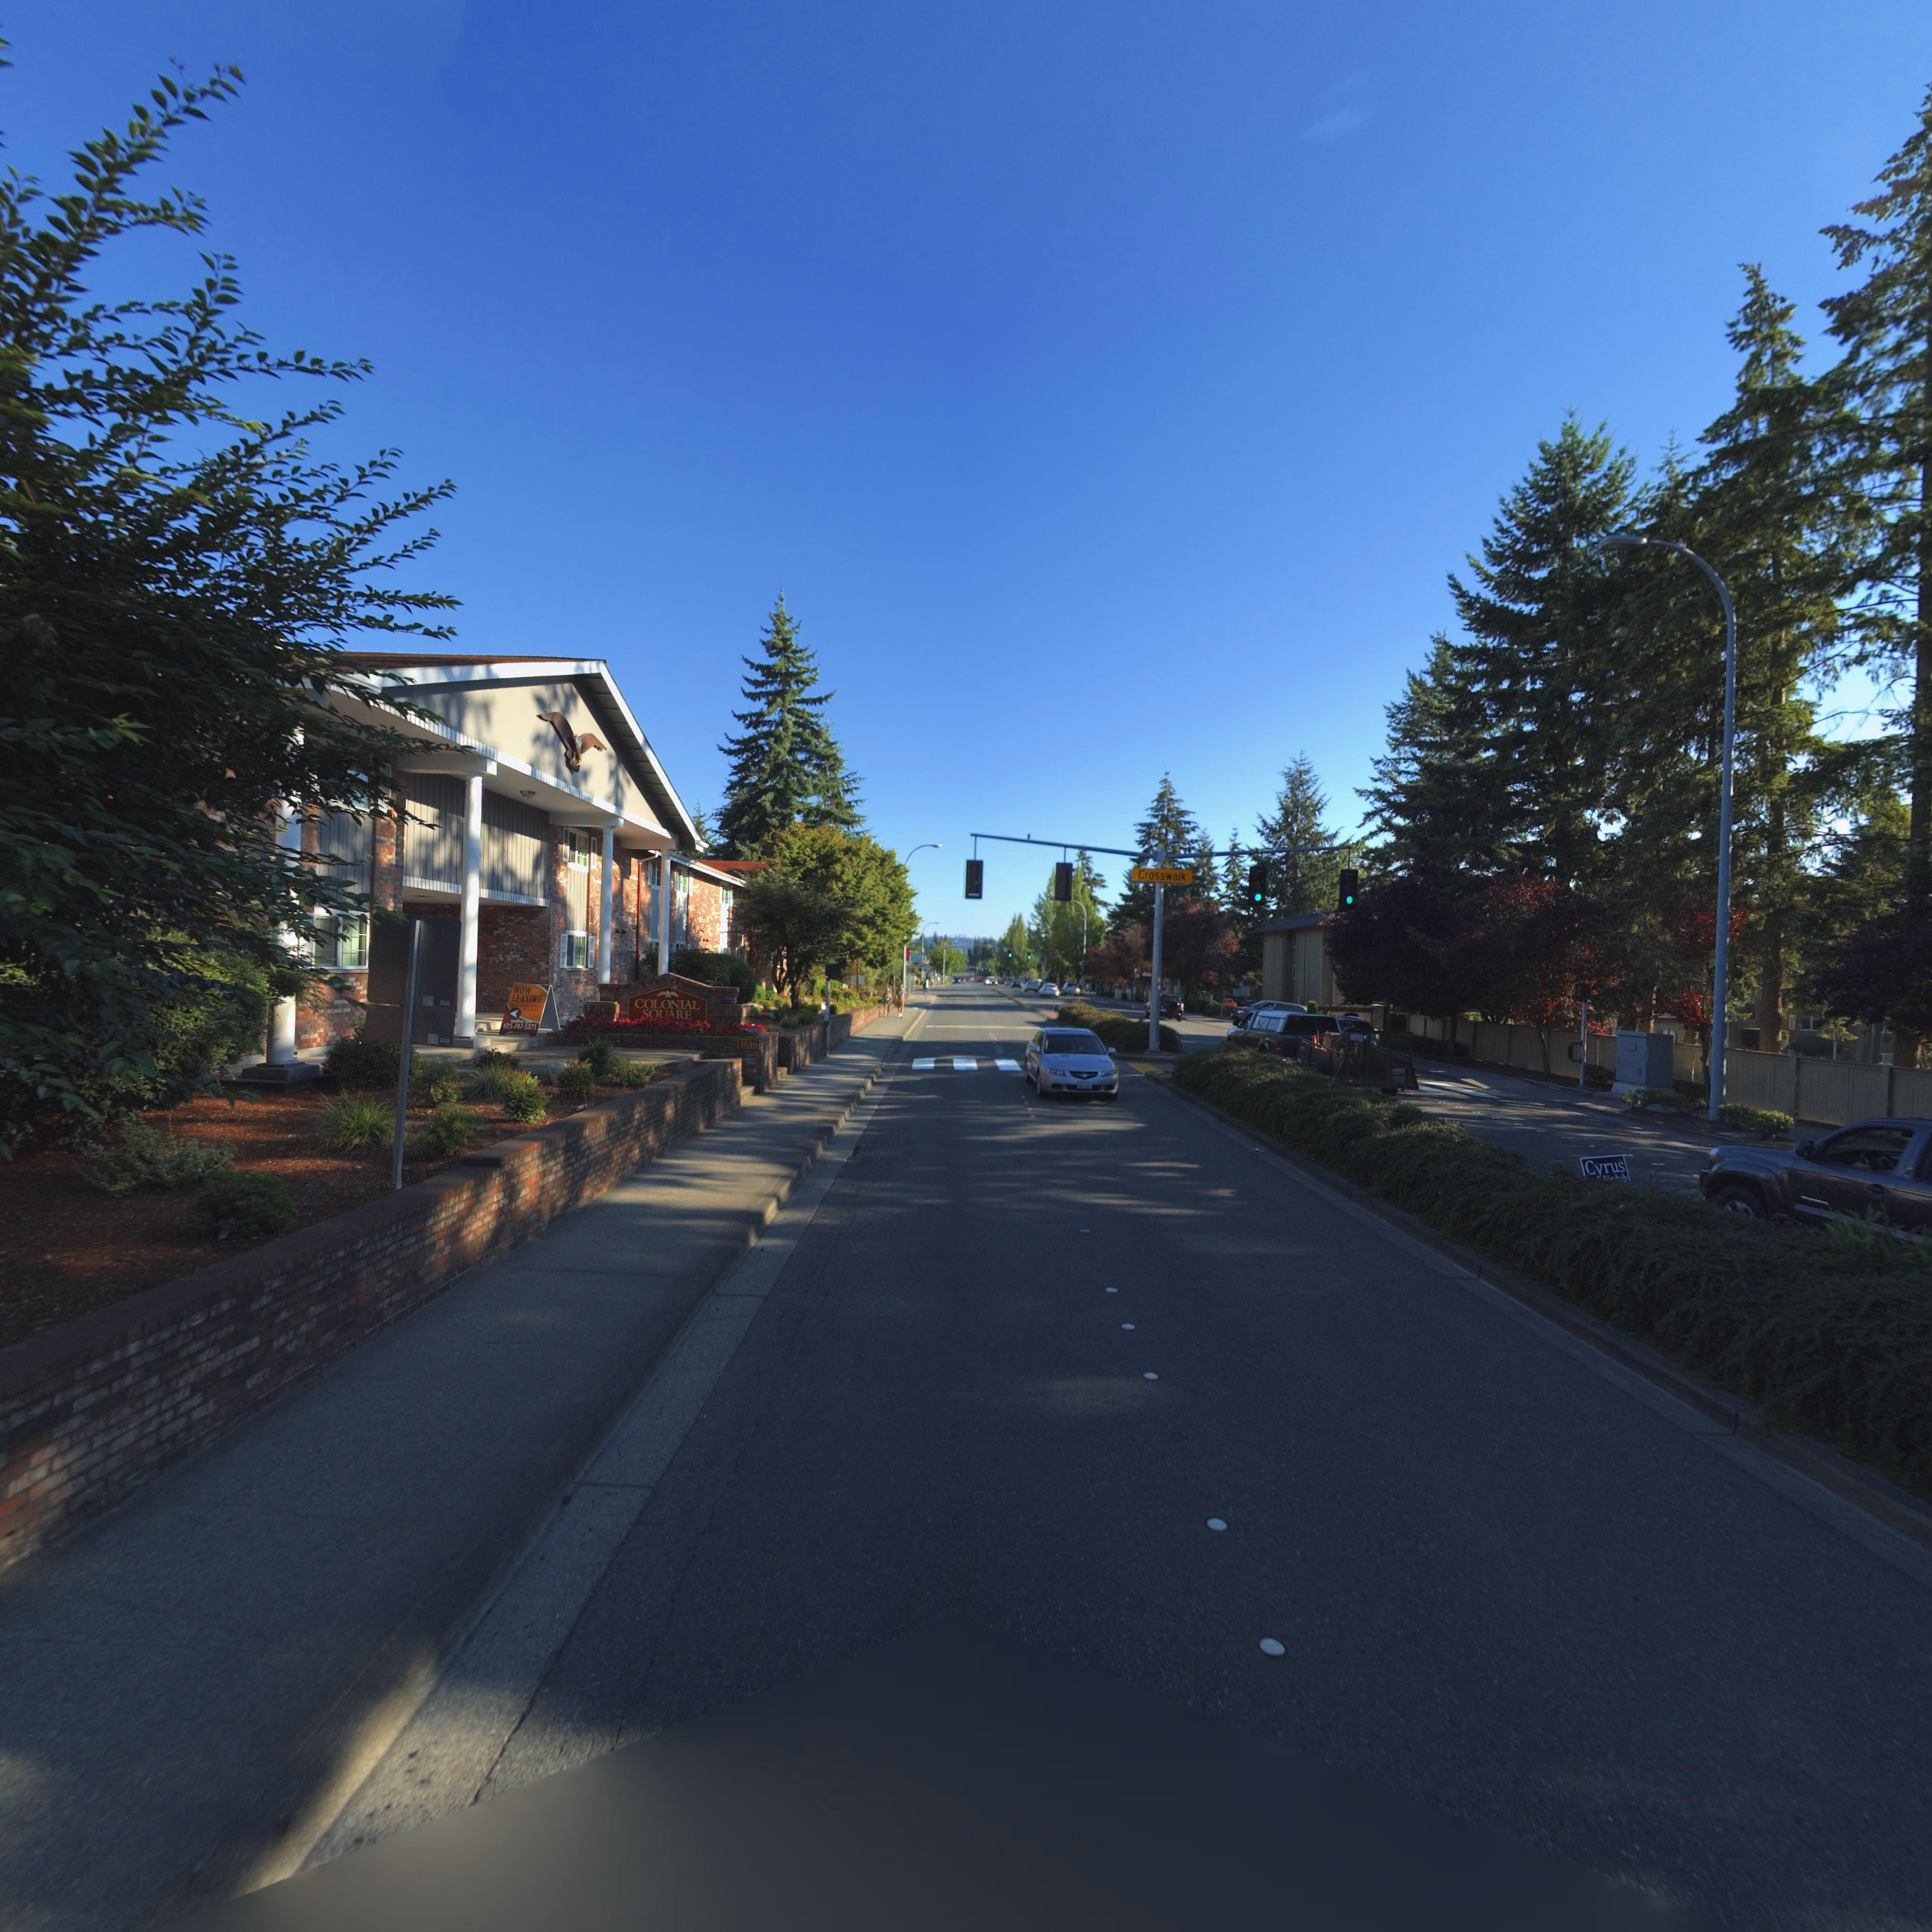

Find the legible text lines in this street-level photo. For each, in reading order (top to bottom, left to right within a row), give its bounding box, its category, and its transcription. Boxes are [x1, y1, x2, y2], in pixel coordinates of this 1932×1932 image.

[740, 1039, 759, 1048] StreetNumber: 1616